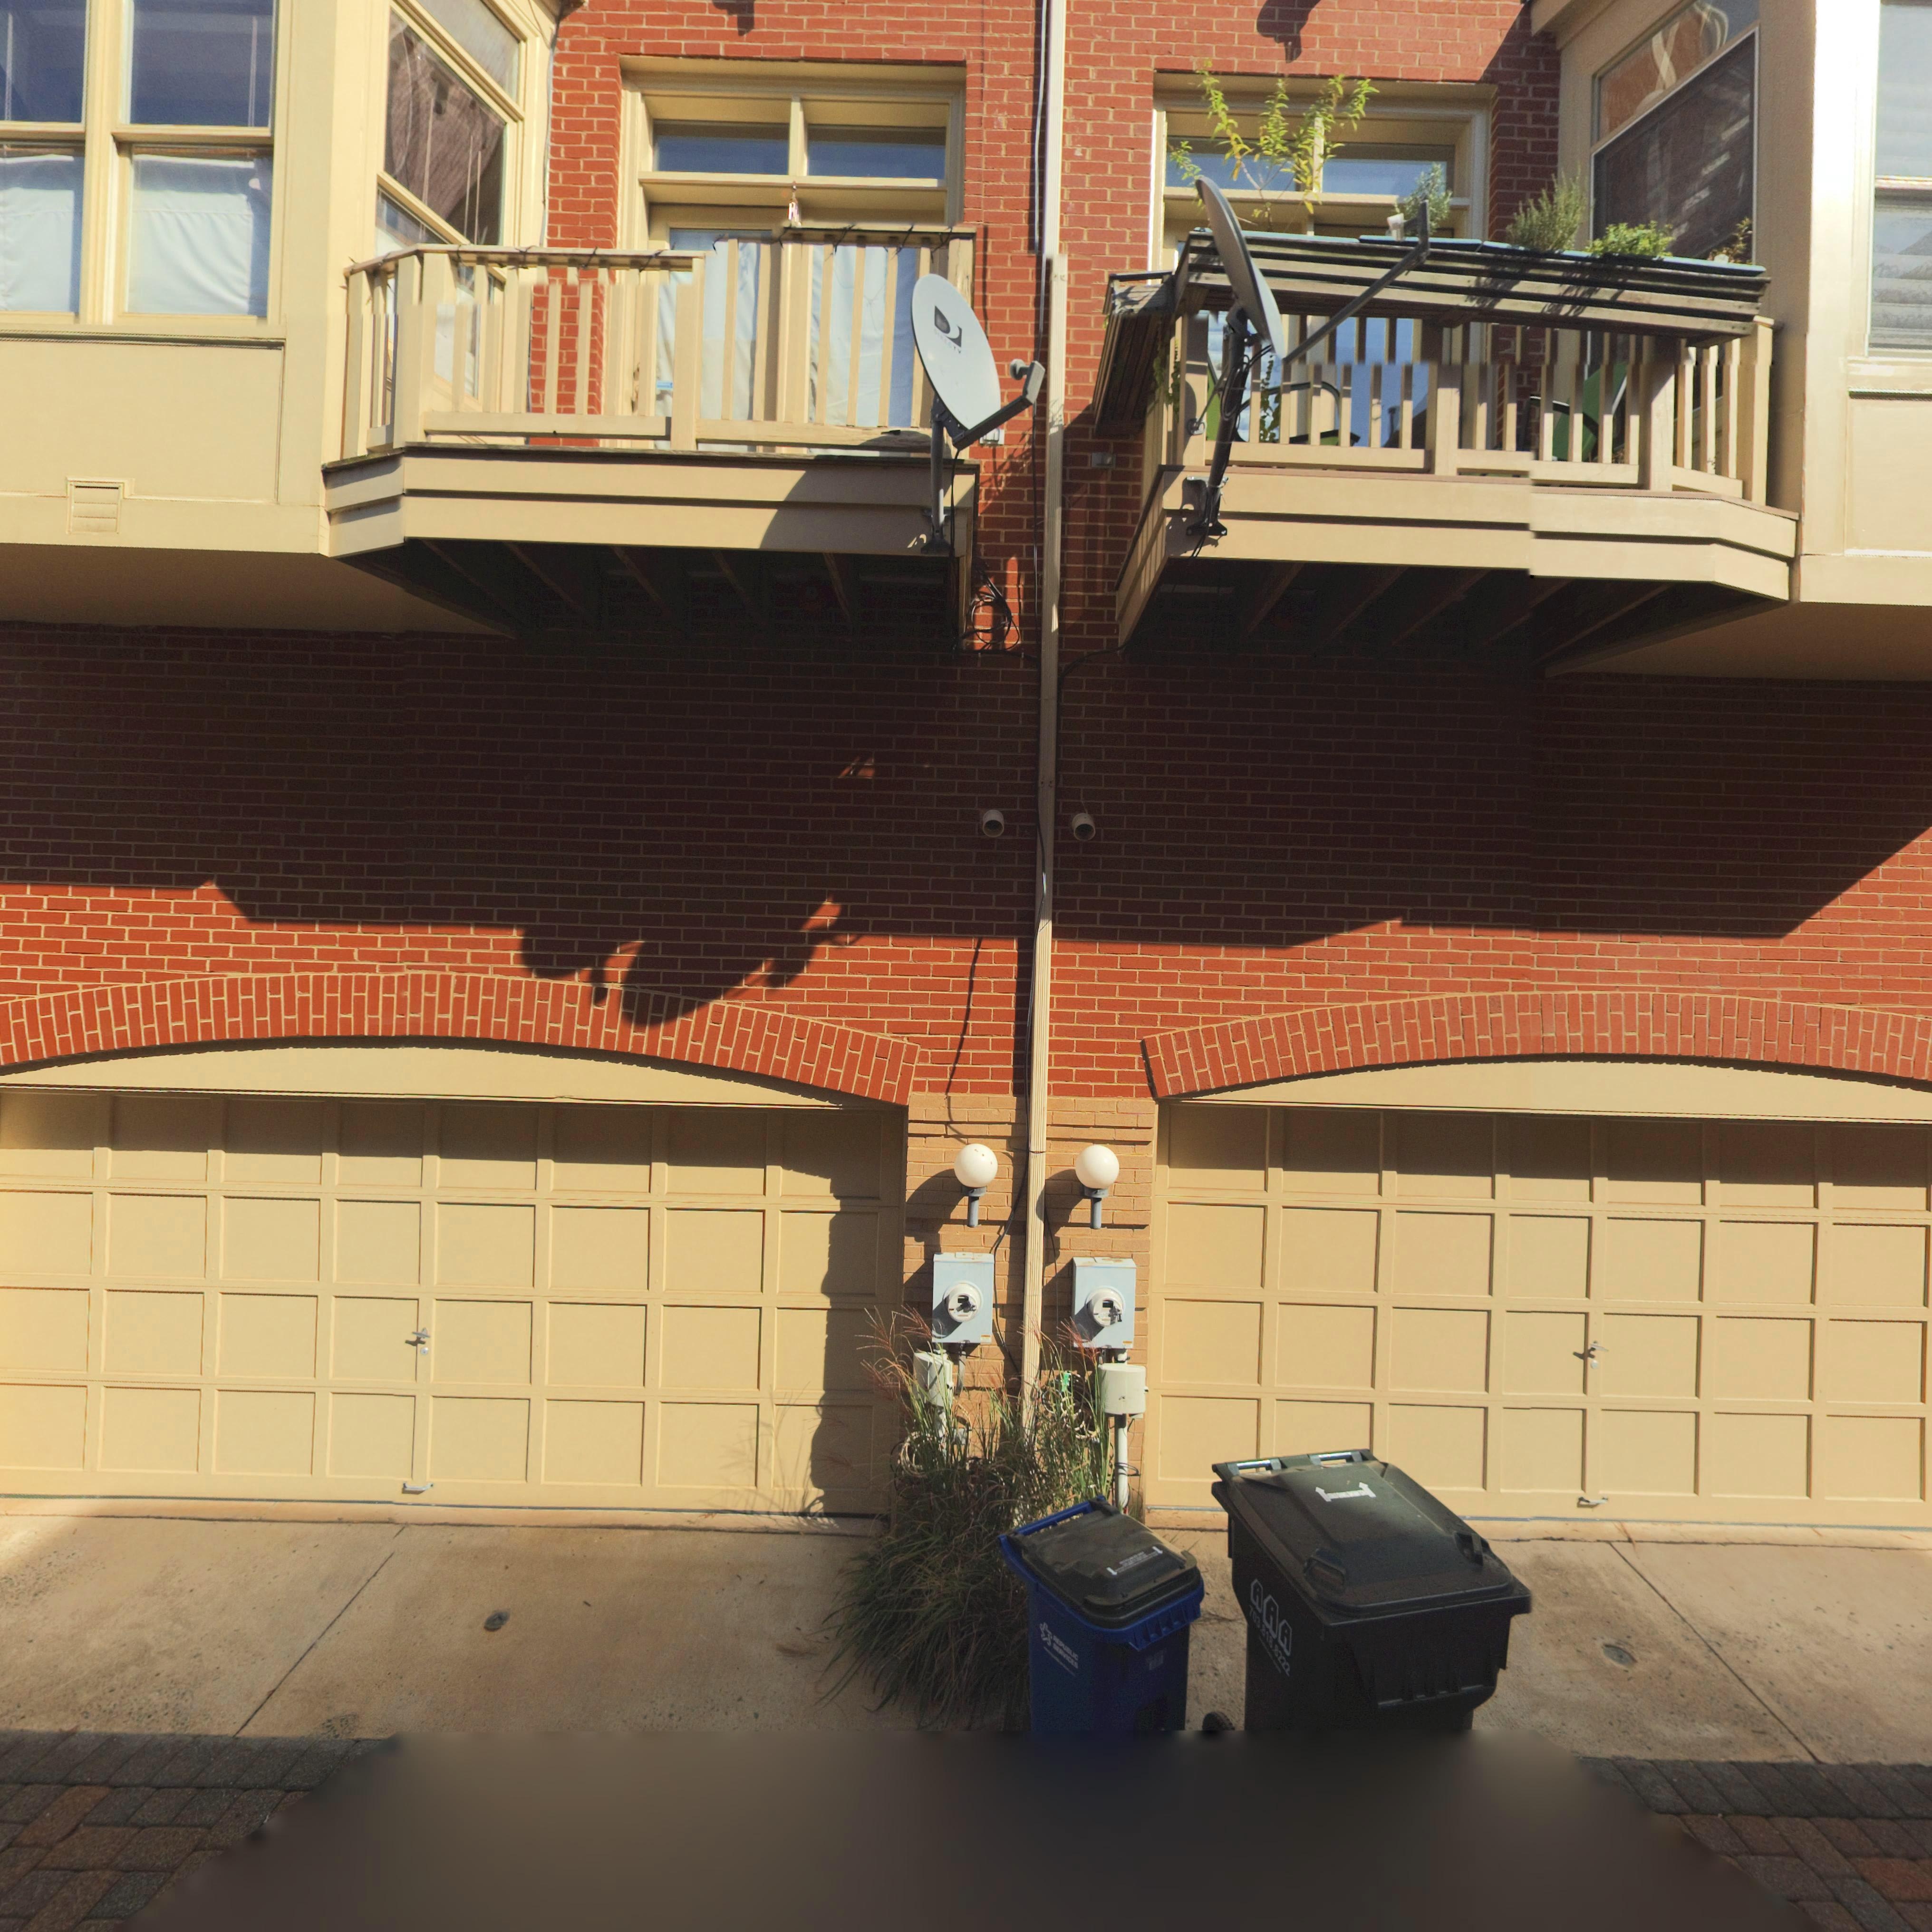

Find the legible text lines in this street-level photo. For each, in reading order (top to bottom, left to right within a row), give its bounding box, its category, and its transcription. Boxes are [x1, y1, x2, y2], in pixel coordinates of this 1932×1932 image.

[933, 328, 962, 355] None: DIRECTV
[1251, 1579, 1292, 1655] None: AAA
[1052, 1642, 1078, 1670] None: SERVICES
[1053, 1634, 1078, 1662] None: REPUBLIC
[1248, 1603, 1292, 1679] None: 703*818*8222